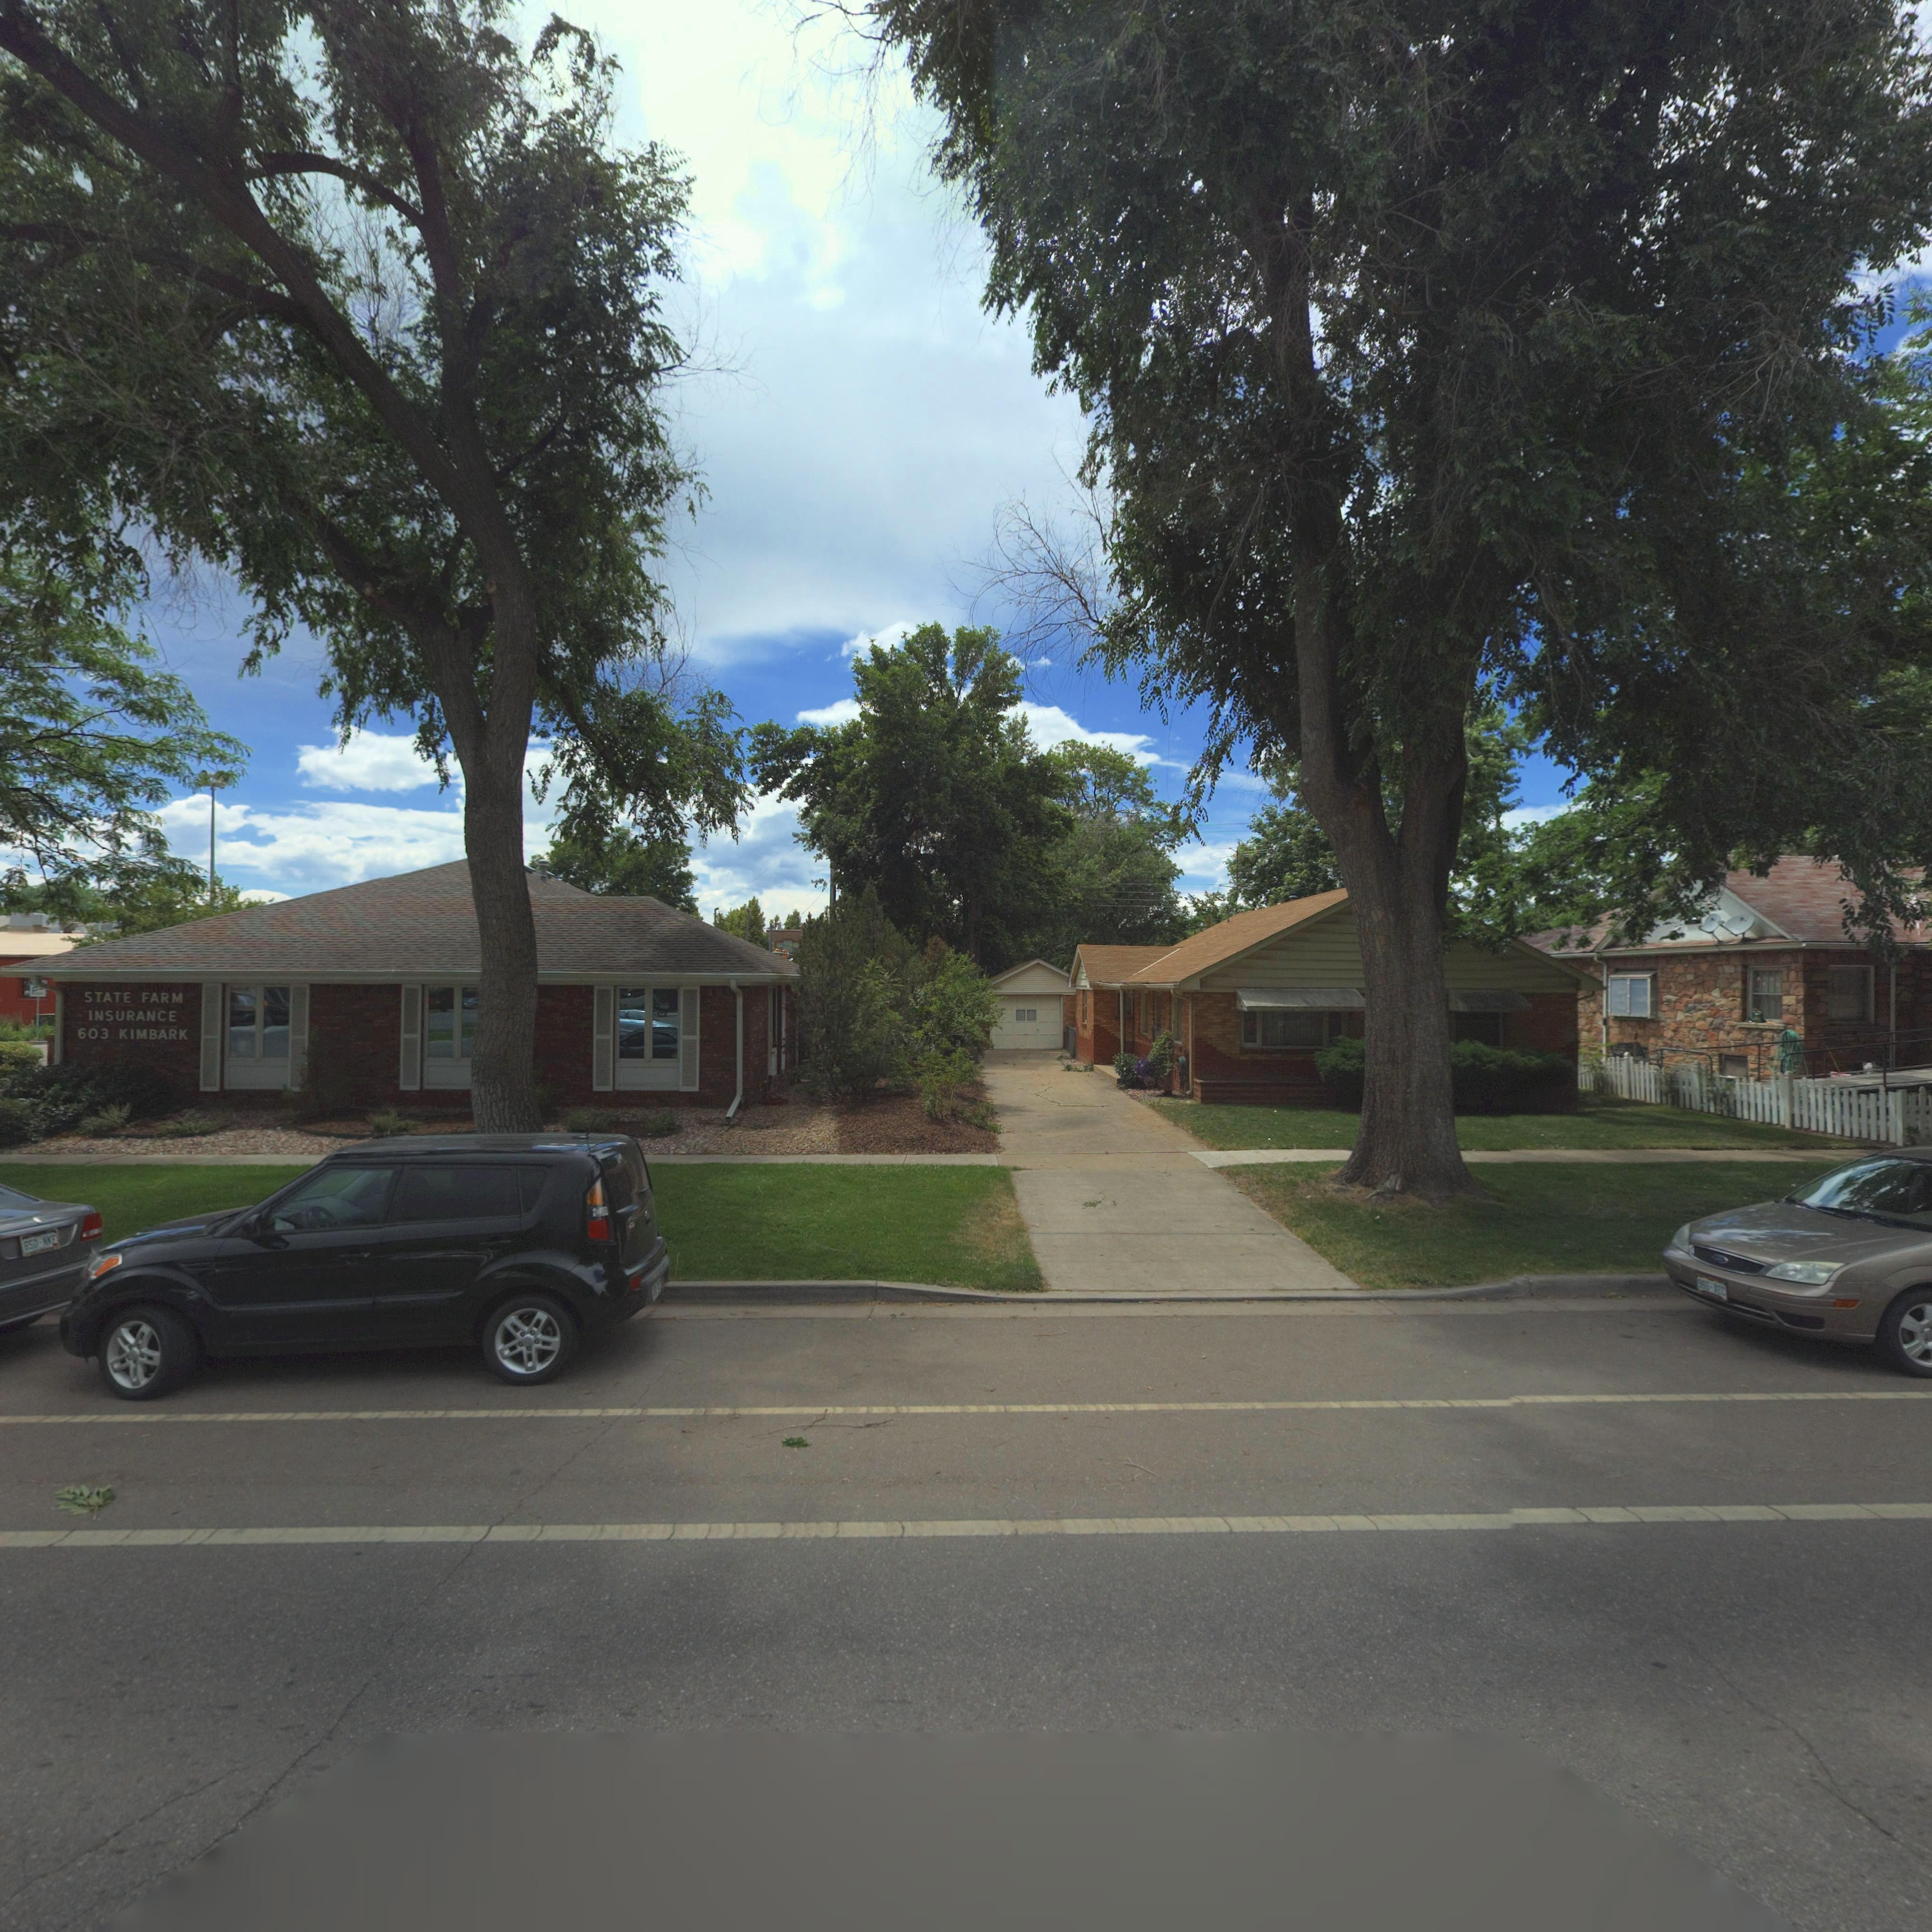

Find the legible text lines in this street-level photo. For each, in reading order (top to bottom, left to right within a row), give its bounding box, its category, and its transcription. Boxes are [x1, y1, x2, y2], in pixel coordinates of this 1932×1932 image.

[83, 990, 183, 1005] BusinessName: STATE FARM
[88, 1009, 177, 1022] BusinessName: INSURANCE
[77, 1026, 109, 1040] StreetNumber: 603
[118, 1027, 188, 1041] StreetName: KIMBARK